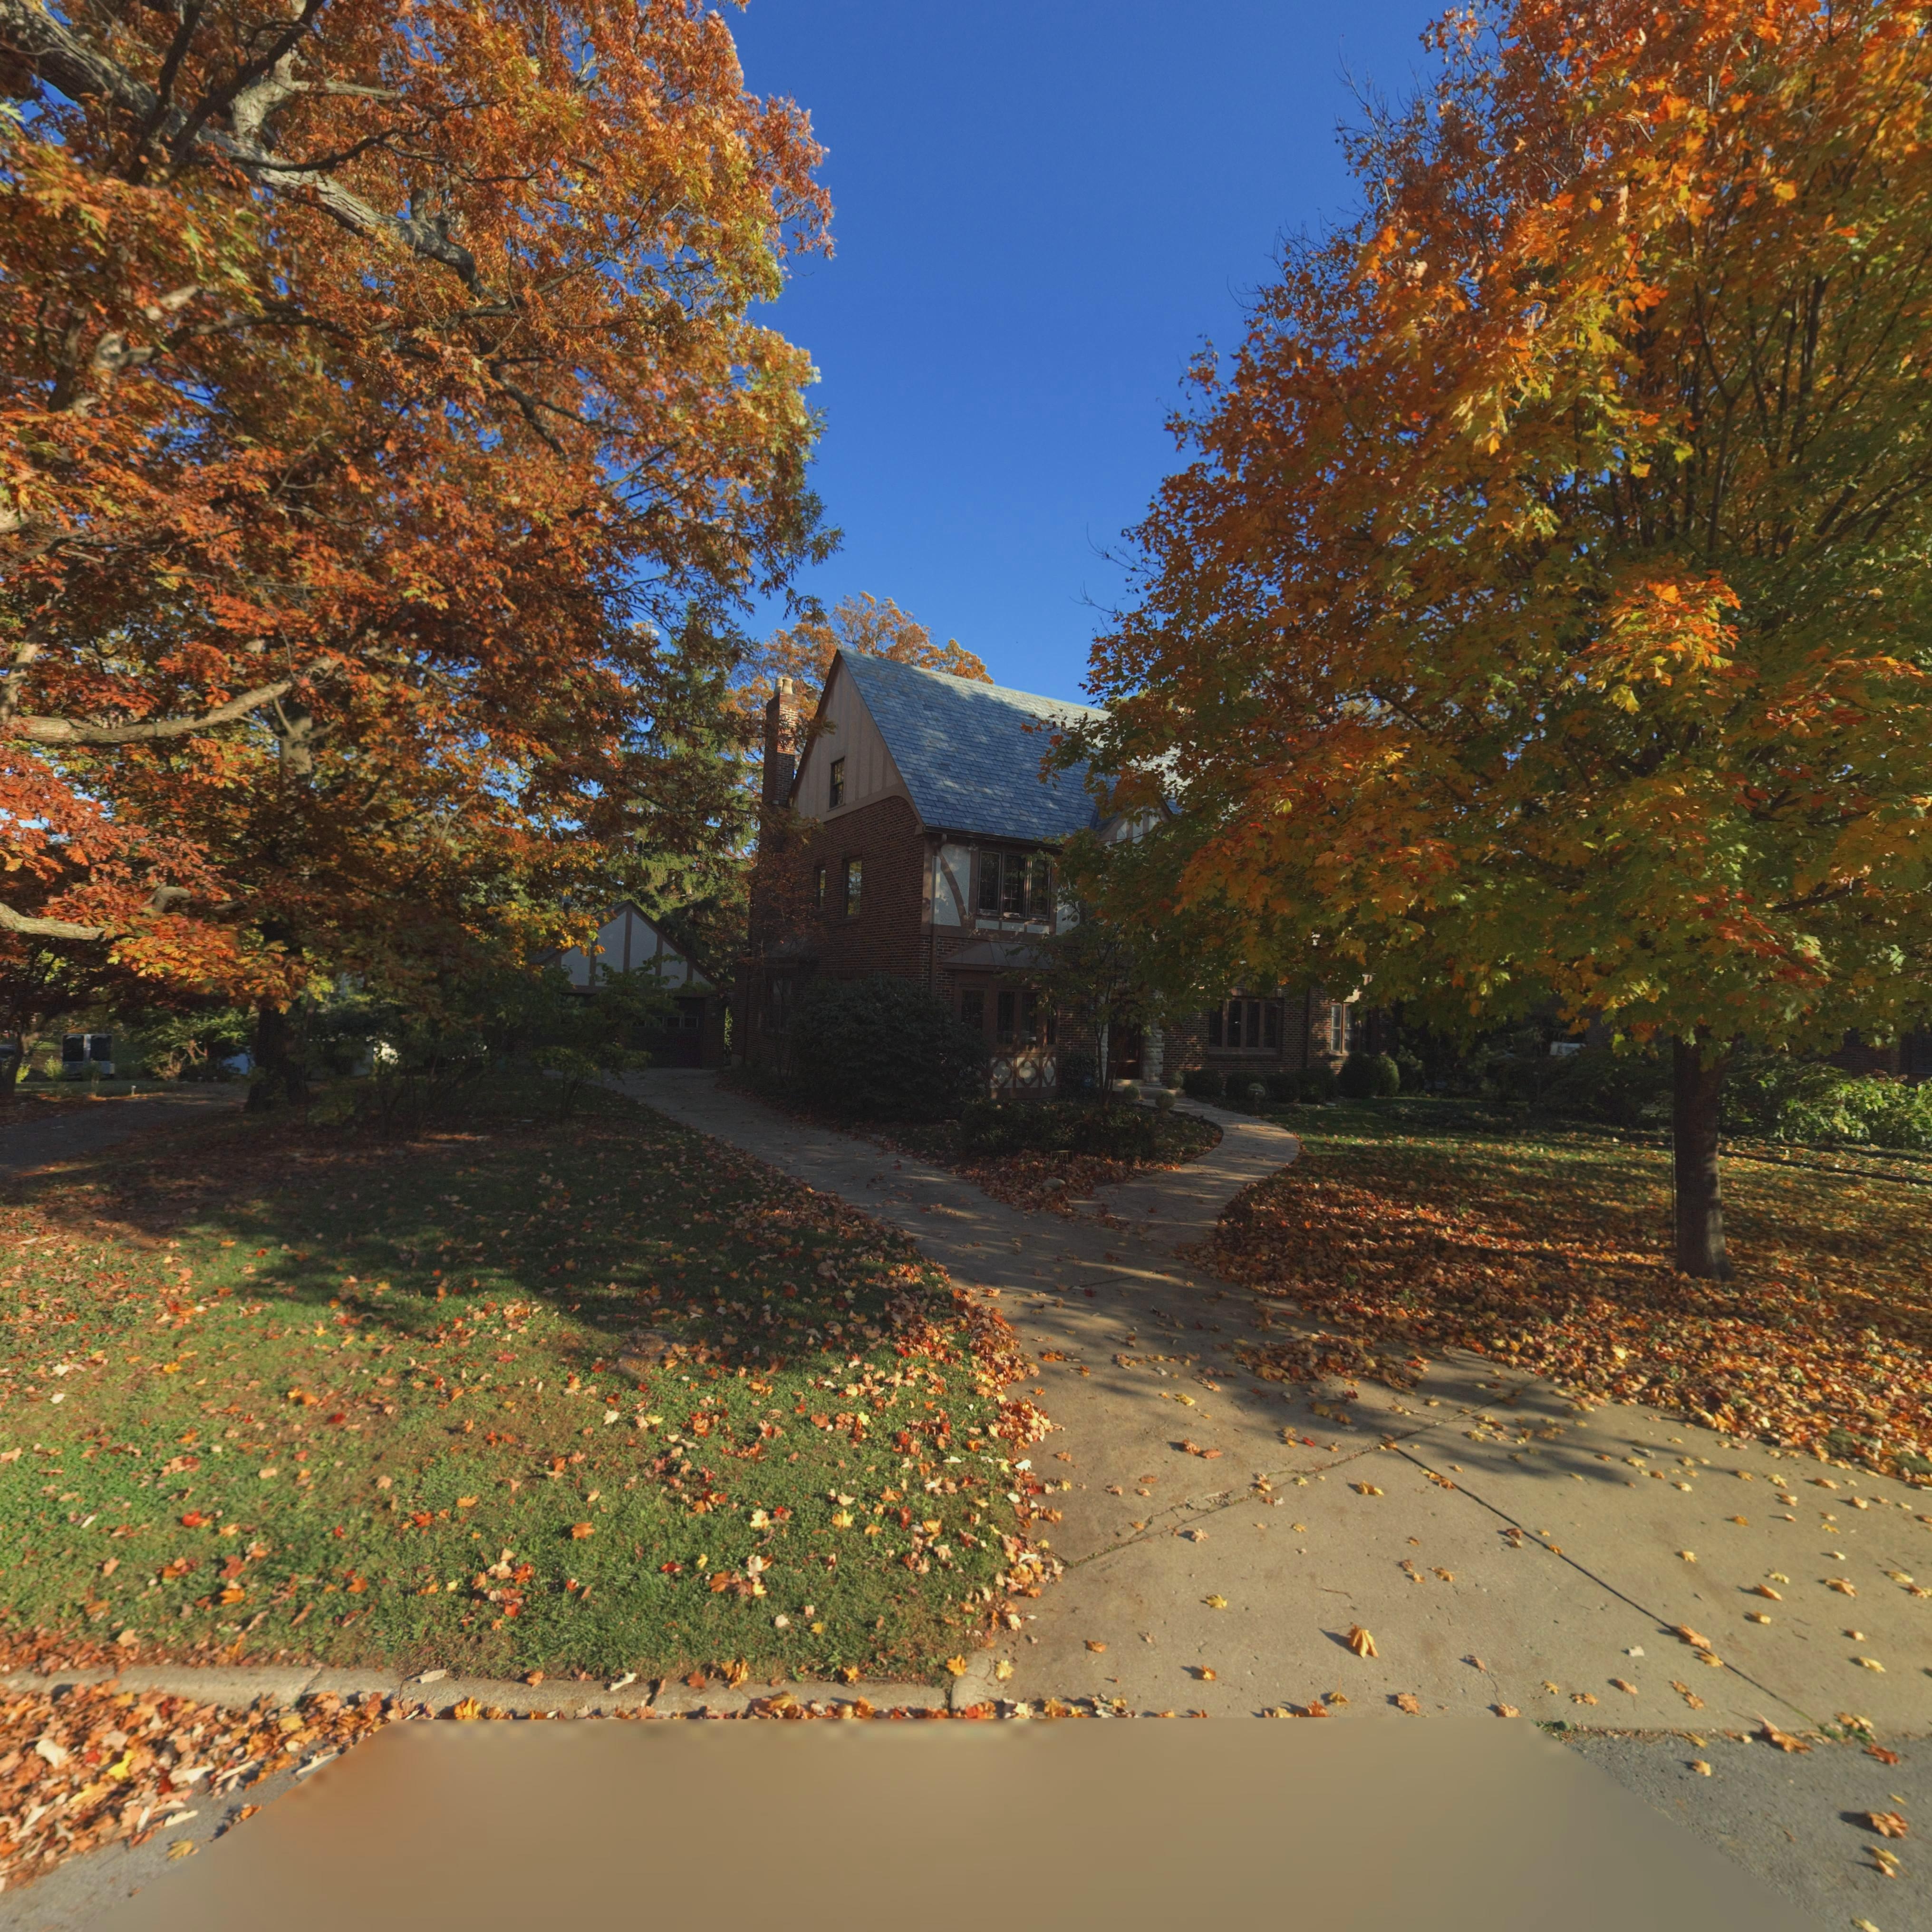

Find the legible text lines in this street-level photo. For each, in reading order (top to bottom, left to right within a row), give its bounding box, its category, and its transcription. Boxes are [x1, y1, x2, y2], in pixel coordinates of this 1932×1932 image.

[1053, 1151, 1070, 1164] StreetNumber: 294